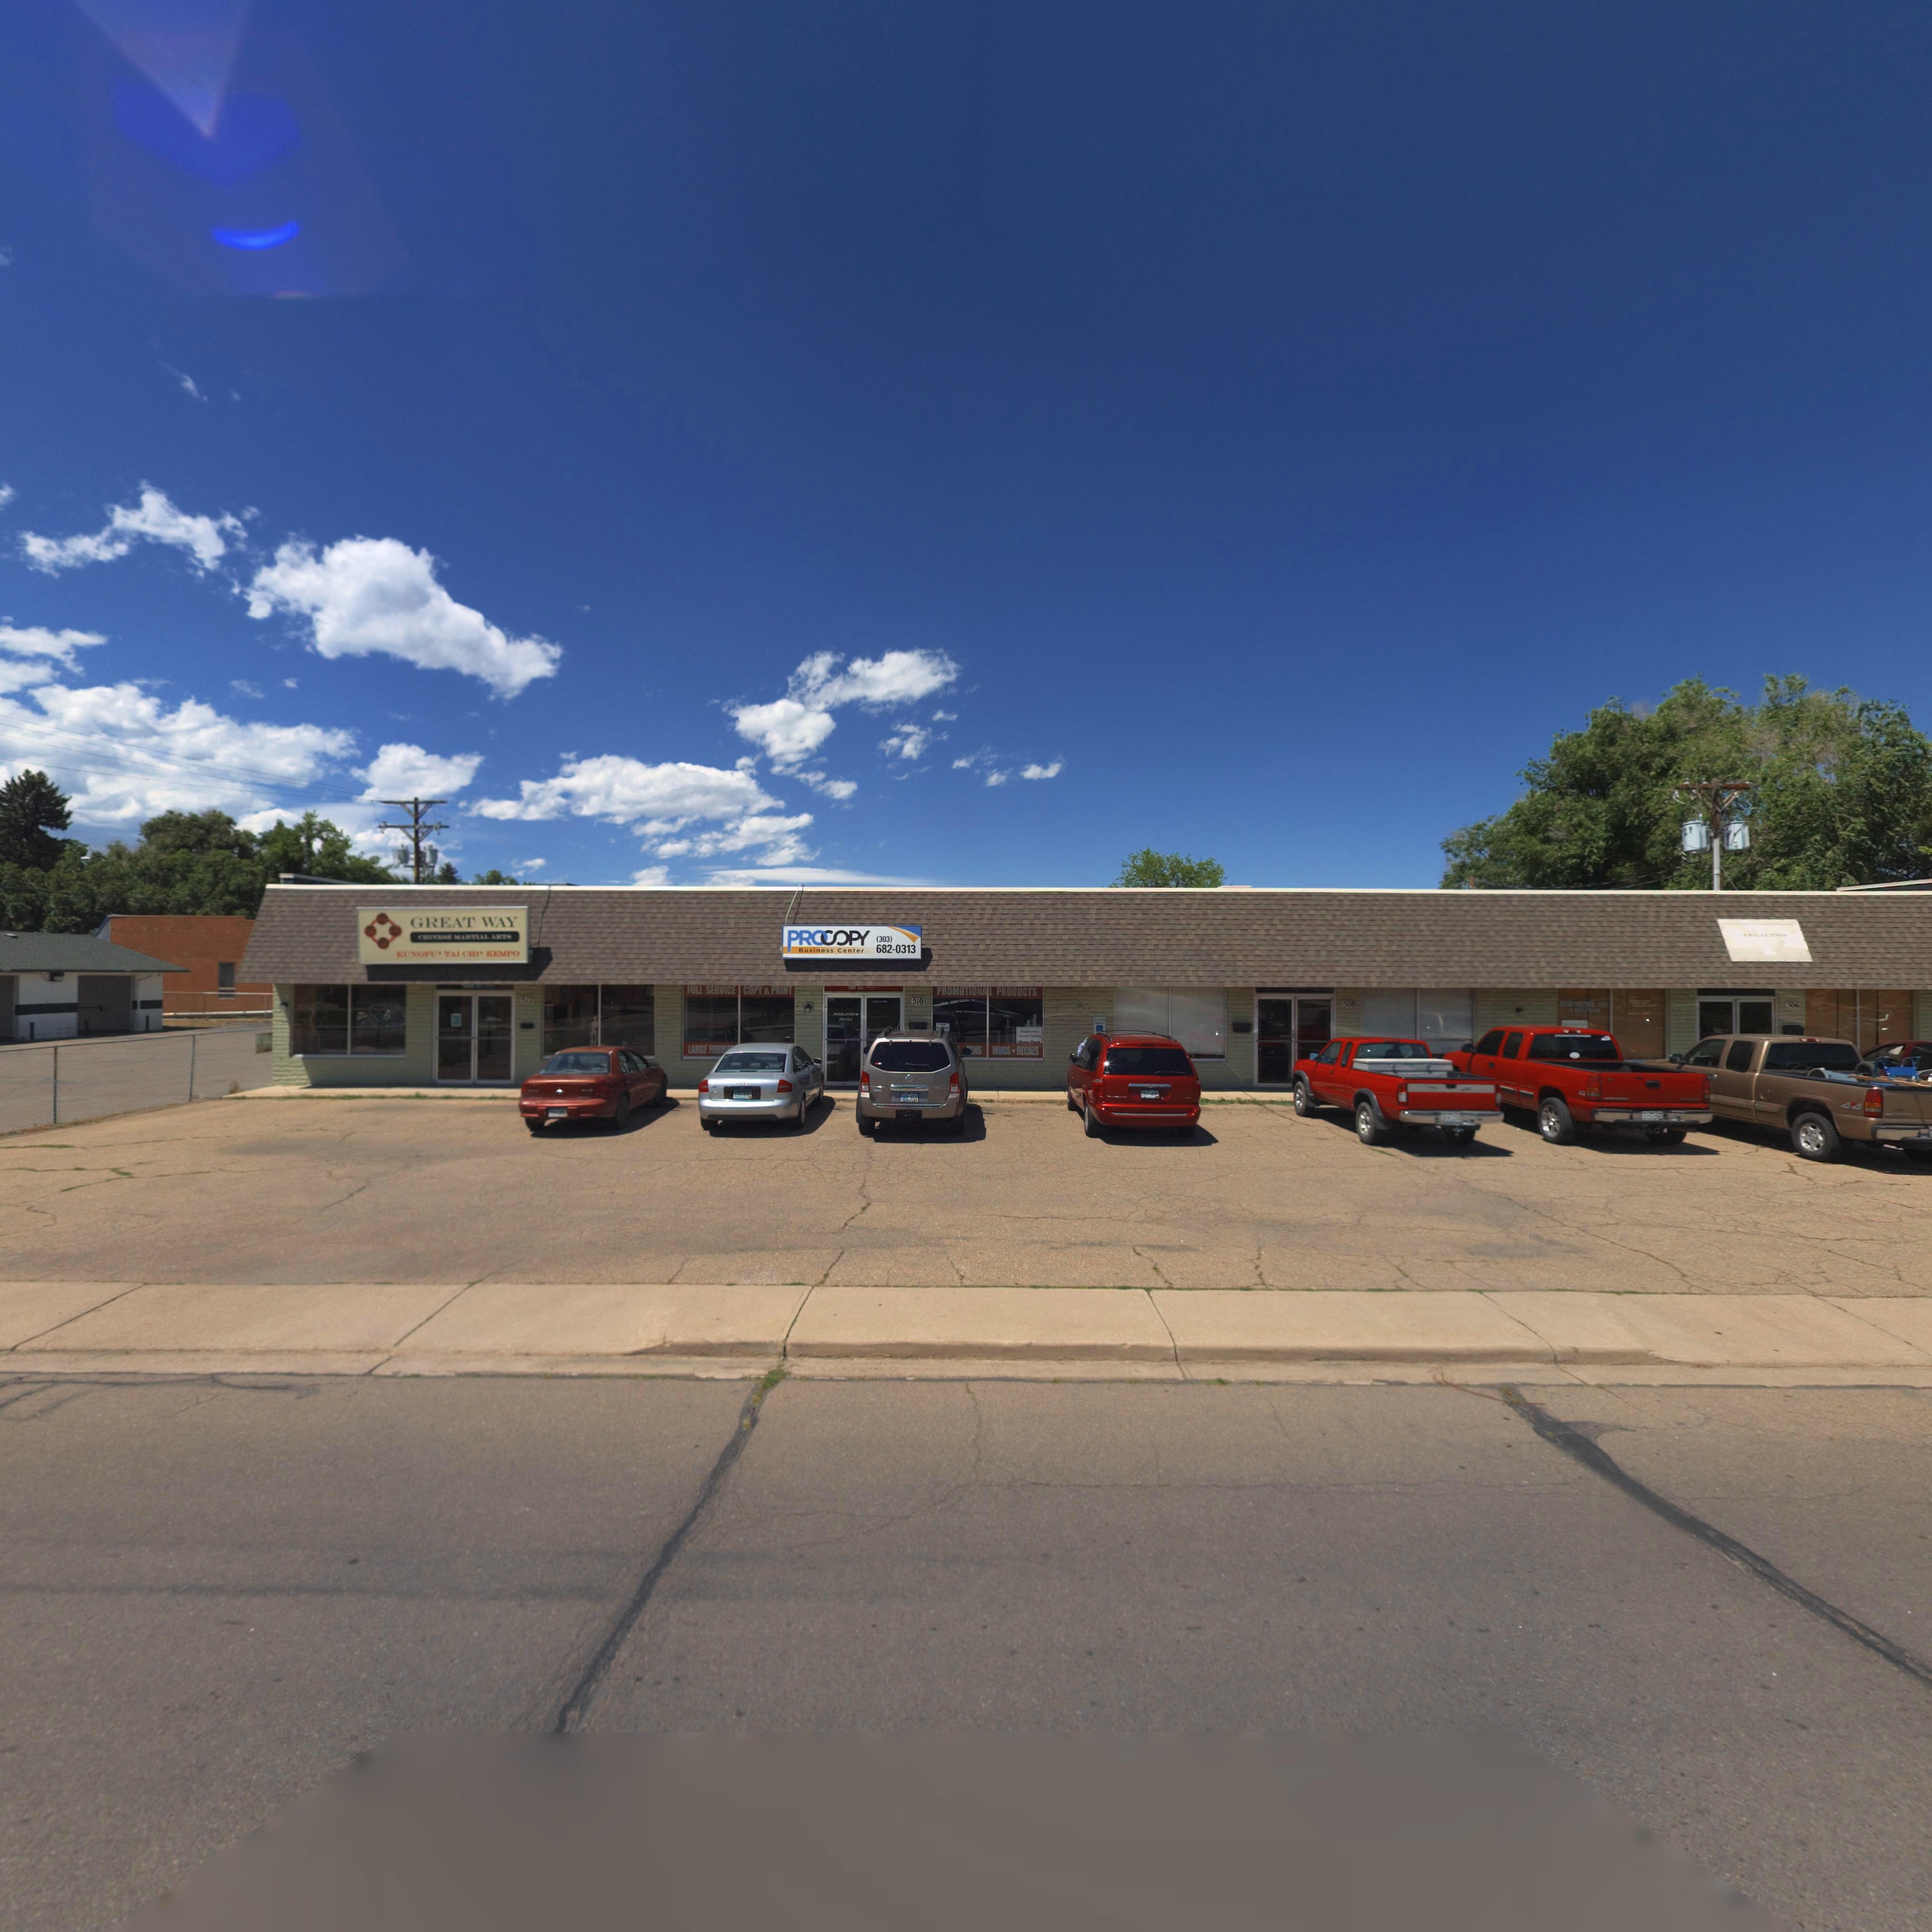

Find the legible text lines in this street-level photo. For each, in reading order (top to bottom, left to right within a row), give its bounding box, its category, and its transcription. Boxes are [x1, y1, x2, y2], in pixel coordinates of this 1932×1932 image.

[409, 916, 518, 928] BusinessName: GREAT WAY
[1738, 933, 1789, 937] BusinessName: *A **C* ******
[786, 929, 870, 953] BusinessName: PROCOPY
[847, 985, 856, 990] StreetNumber: 51*
[521, 996, 533, 1004] StreetNumber: 512
[912, 998, 923, 1005] StreetNumber: 510
[1786, 1001, 1800, 1008] StreetNumber: *06
[832, 1012, 860, 1016] StreetNumber: P******Y